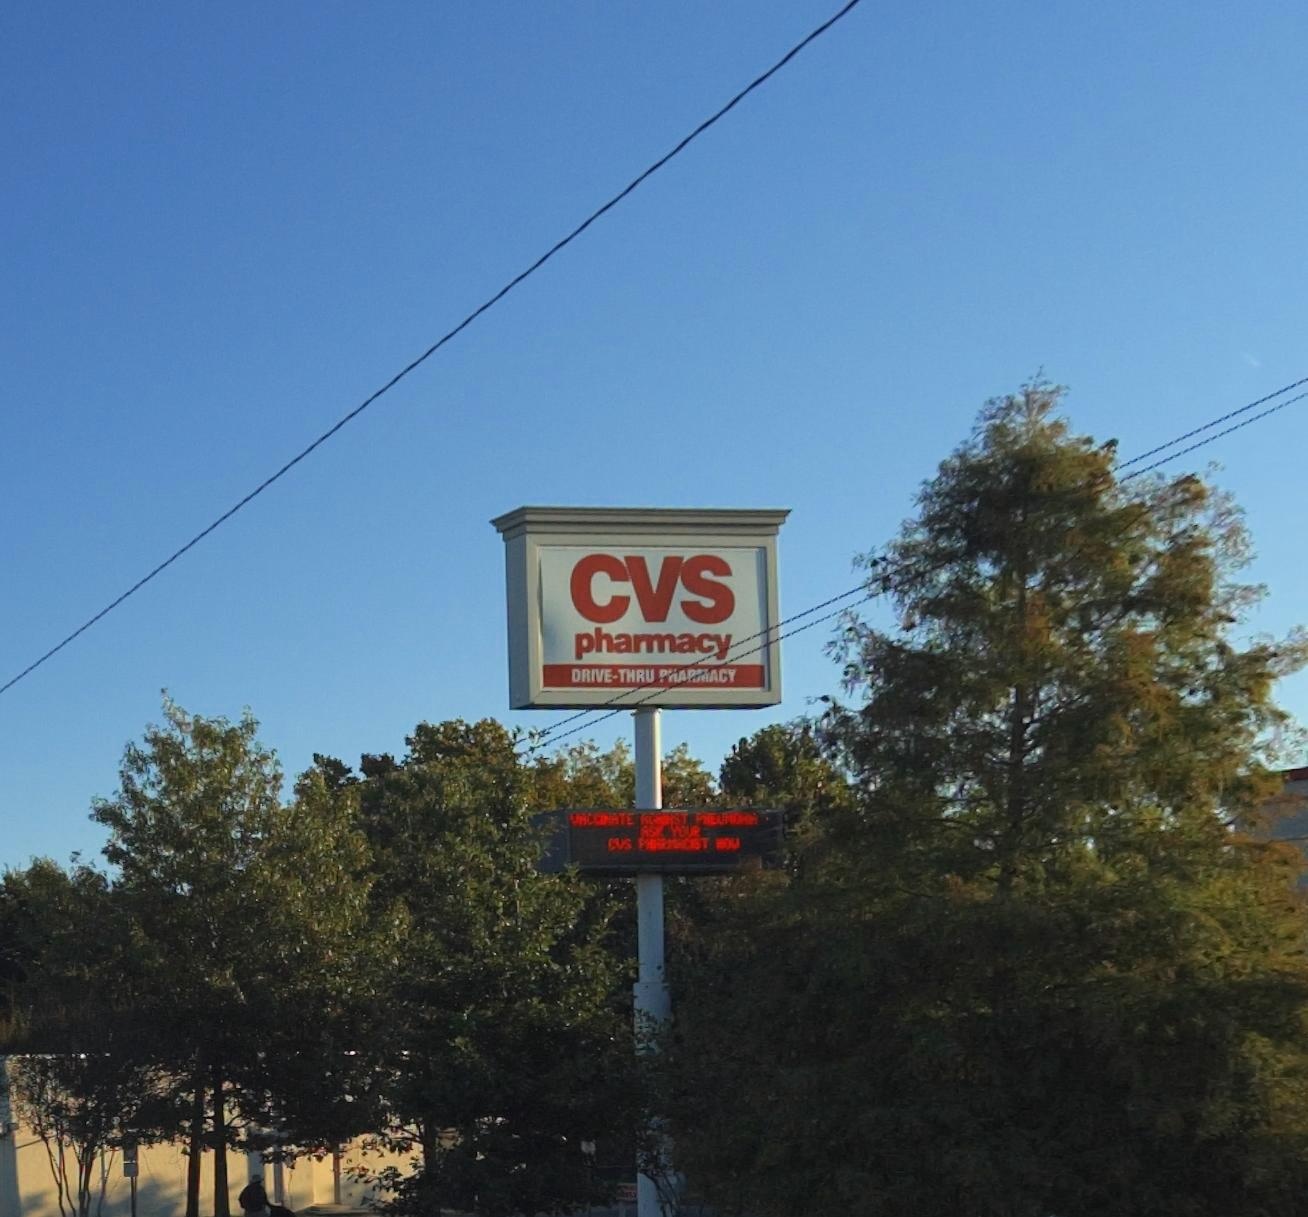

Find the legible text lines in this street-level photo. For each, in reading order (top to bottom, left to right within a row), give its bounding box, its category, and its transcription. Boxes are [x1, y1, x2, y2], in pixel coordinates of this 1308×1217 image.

[567, 549, 741, 627] BusinessName: CVS
[572, 625, 734, 665] BusinessName: pharmacy
[569, 666, 739, 685] None: DRIVE-THRU *****ACY
[567, 810, 638, 829] None: VACCINATE
[606, 836, 635, 855] BusinessName: CVS